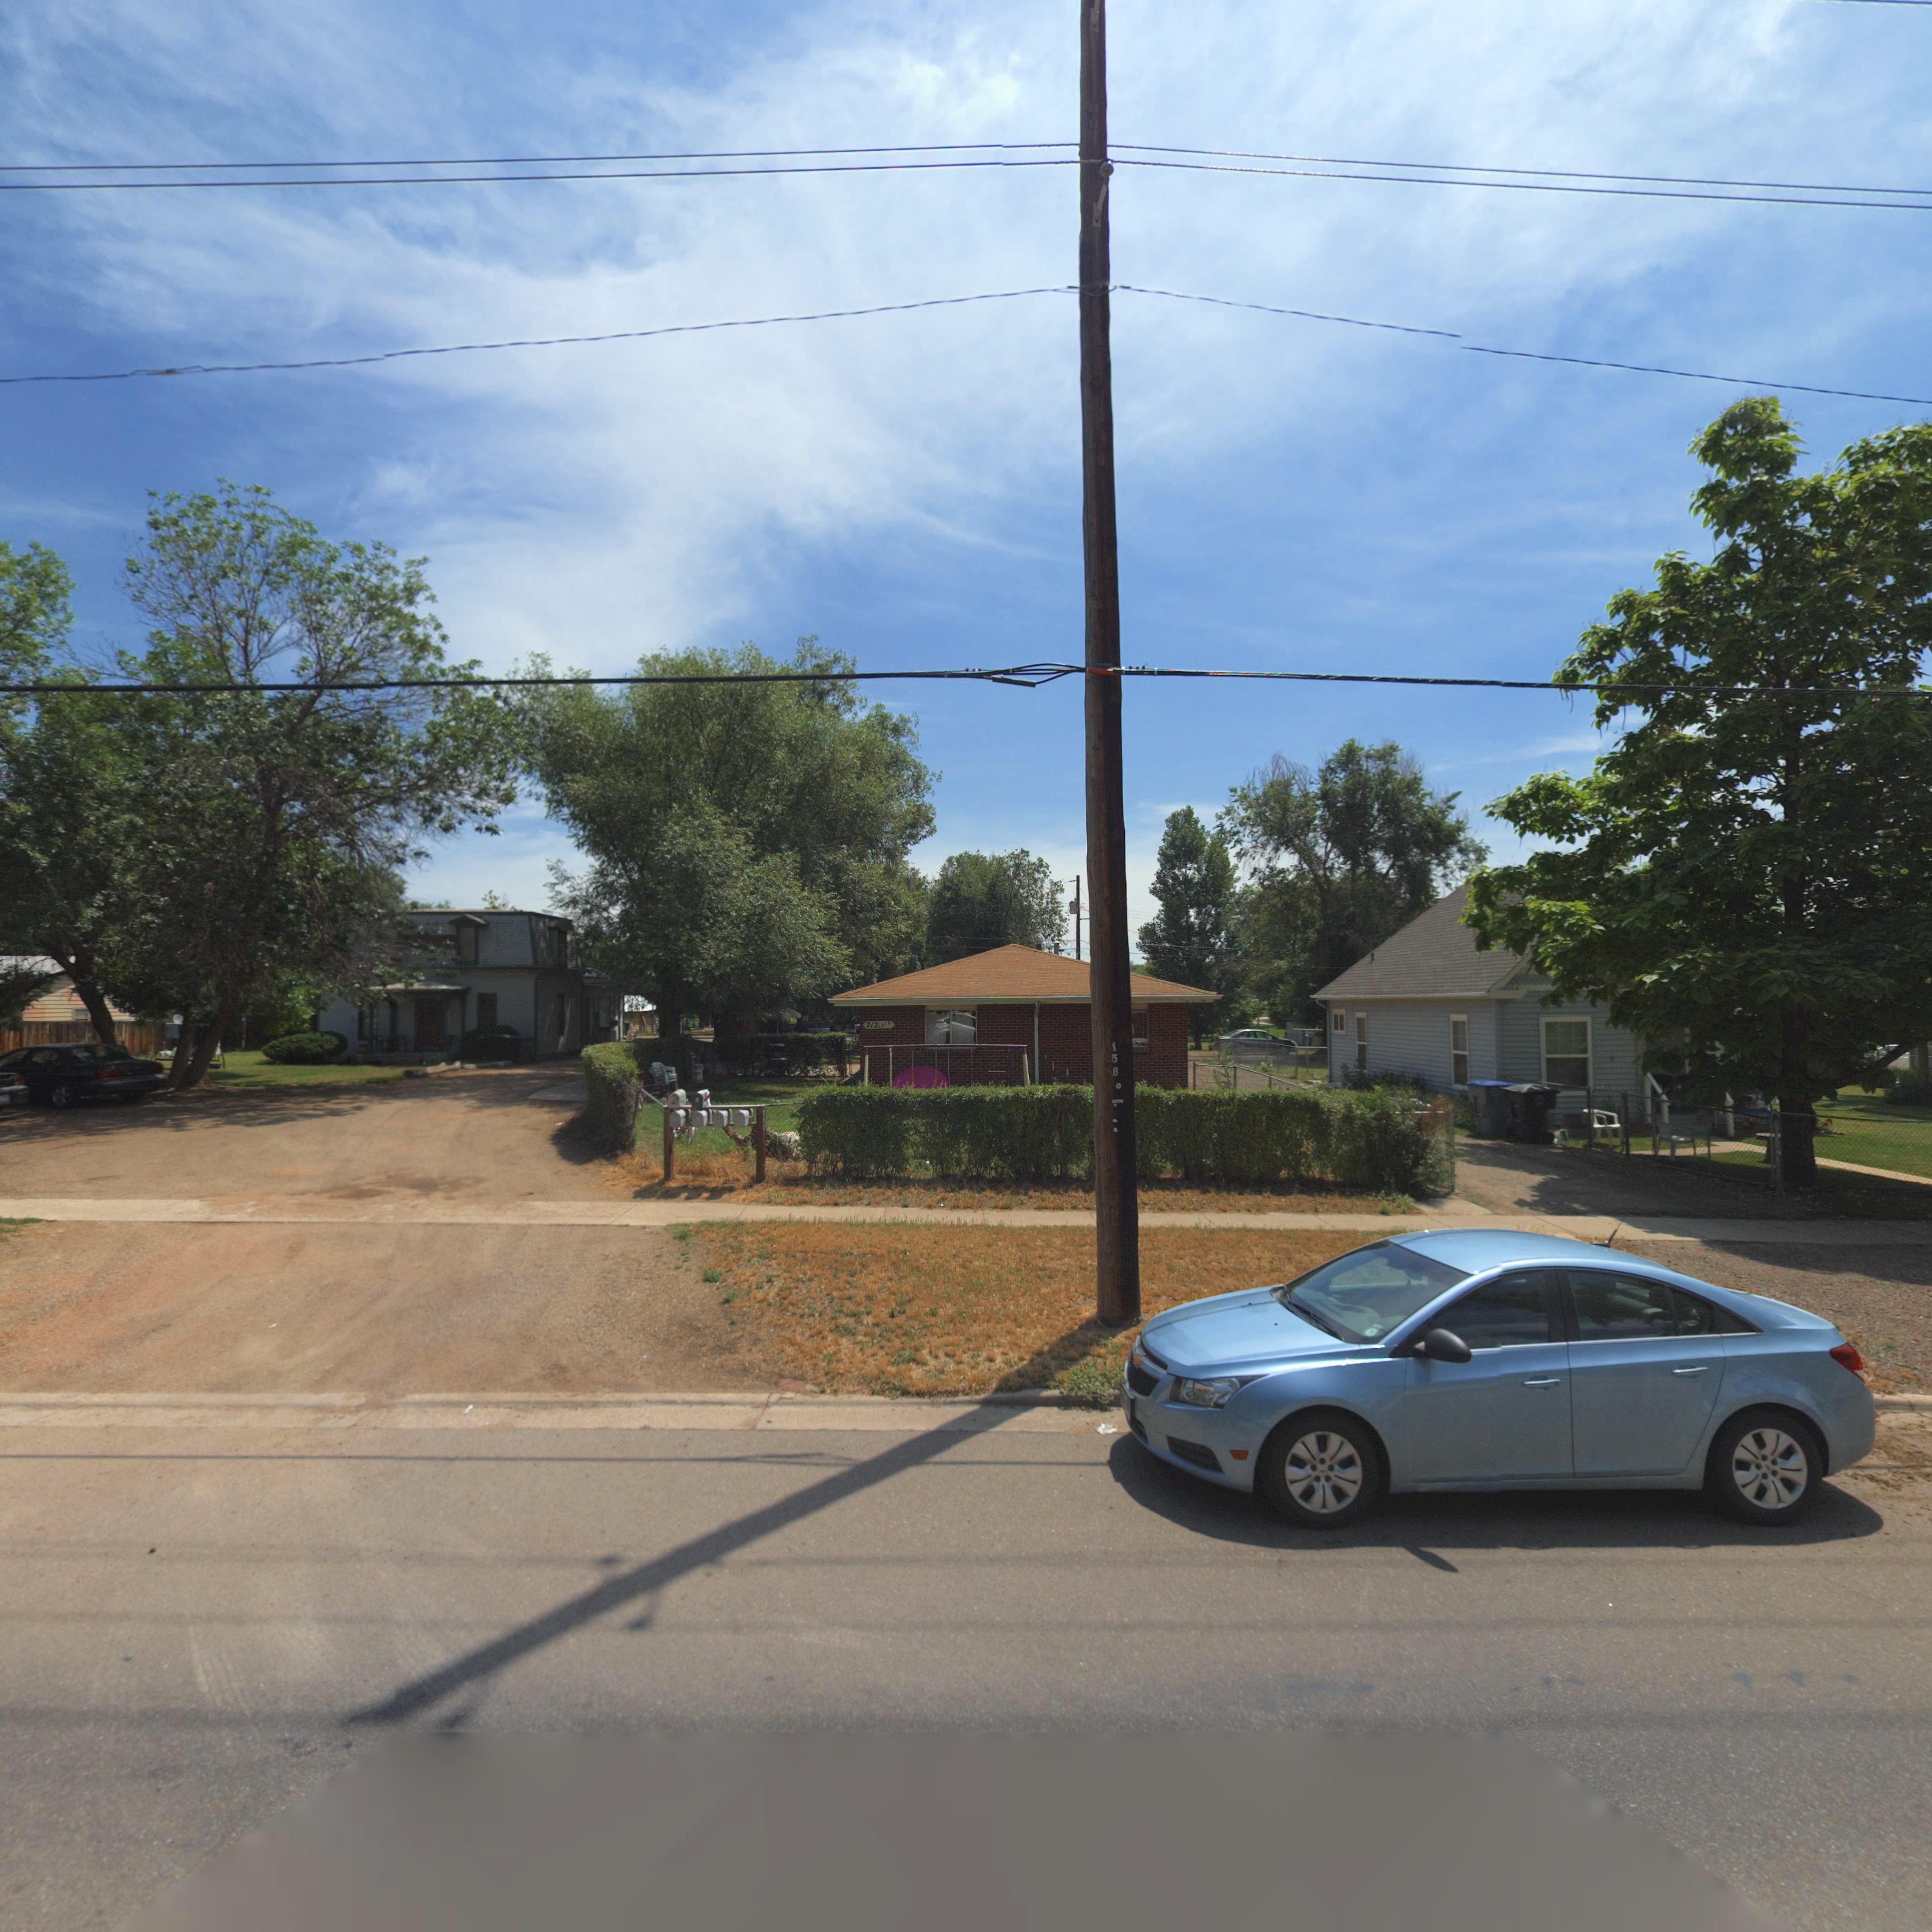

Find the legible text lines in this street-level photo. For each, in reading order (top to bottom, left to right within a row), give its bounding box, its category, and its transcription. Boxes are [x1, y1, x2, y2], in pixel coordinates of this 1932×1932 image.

[866, 1022, 878, 1028] StreetNumber: 712